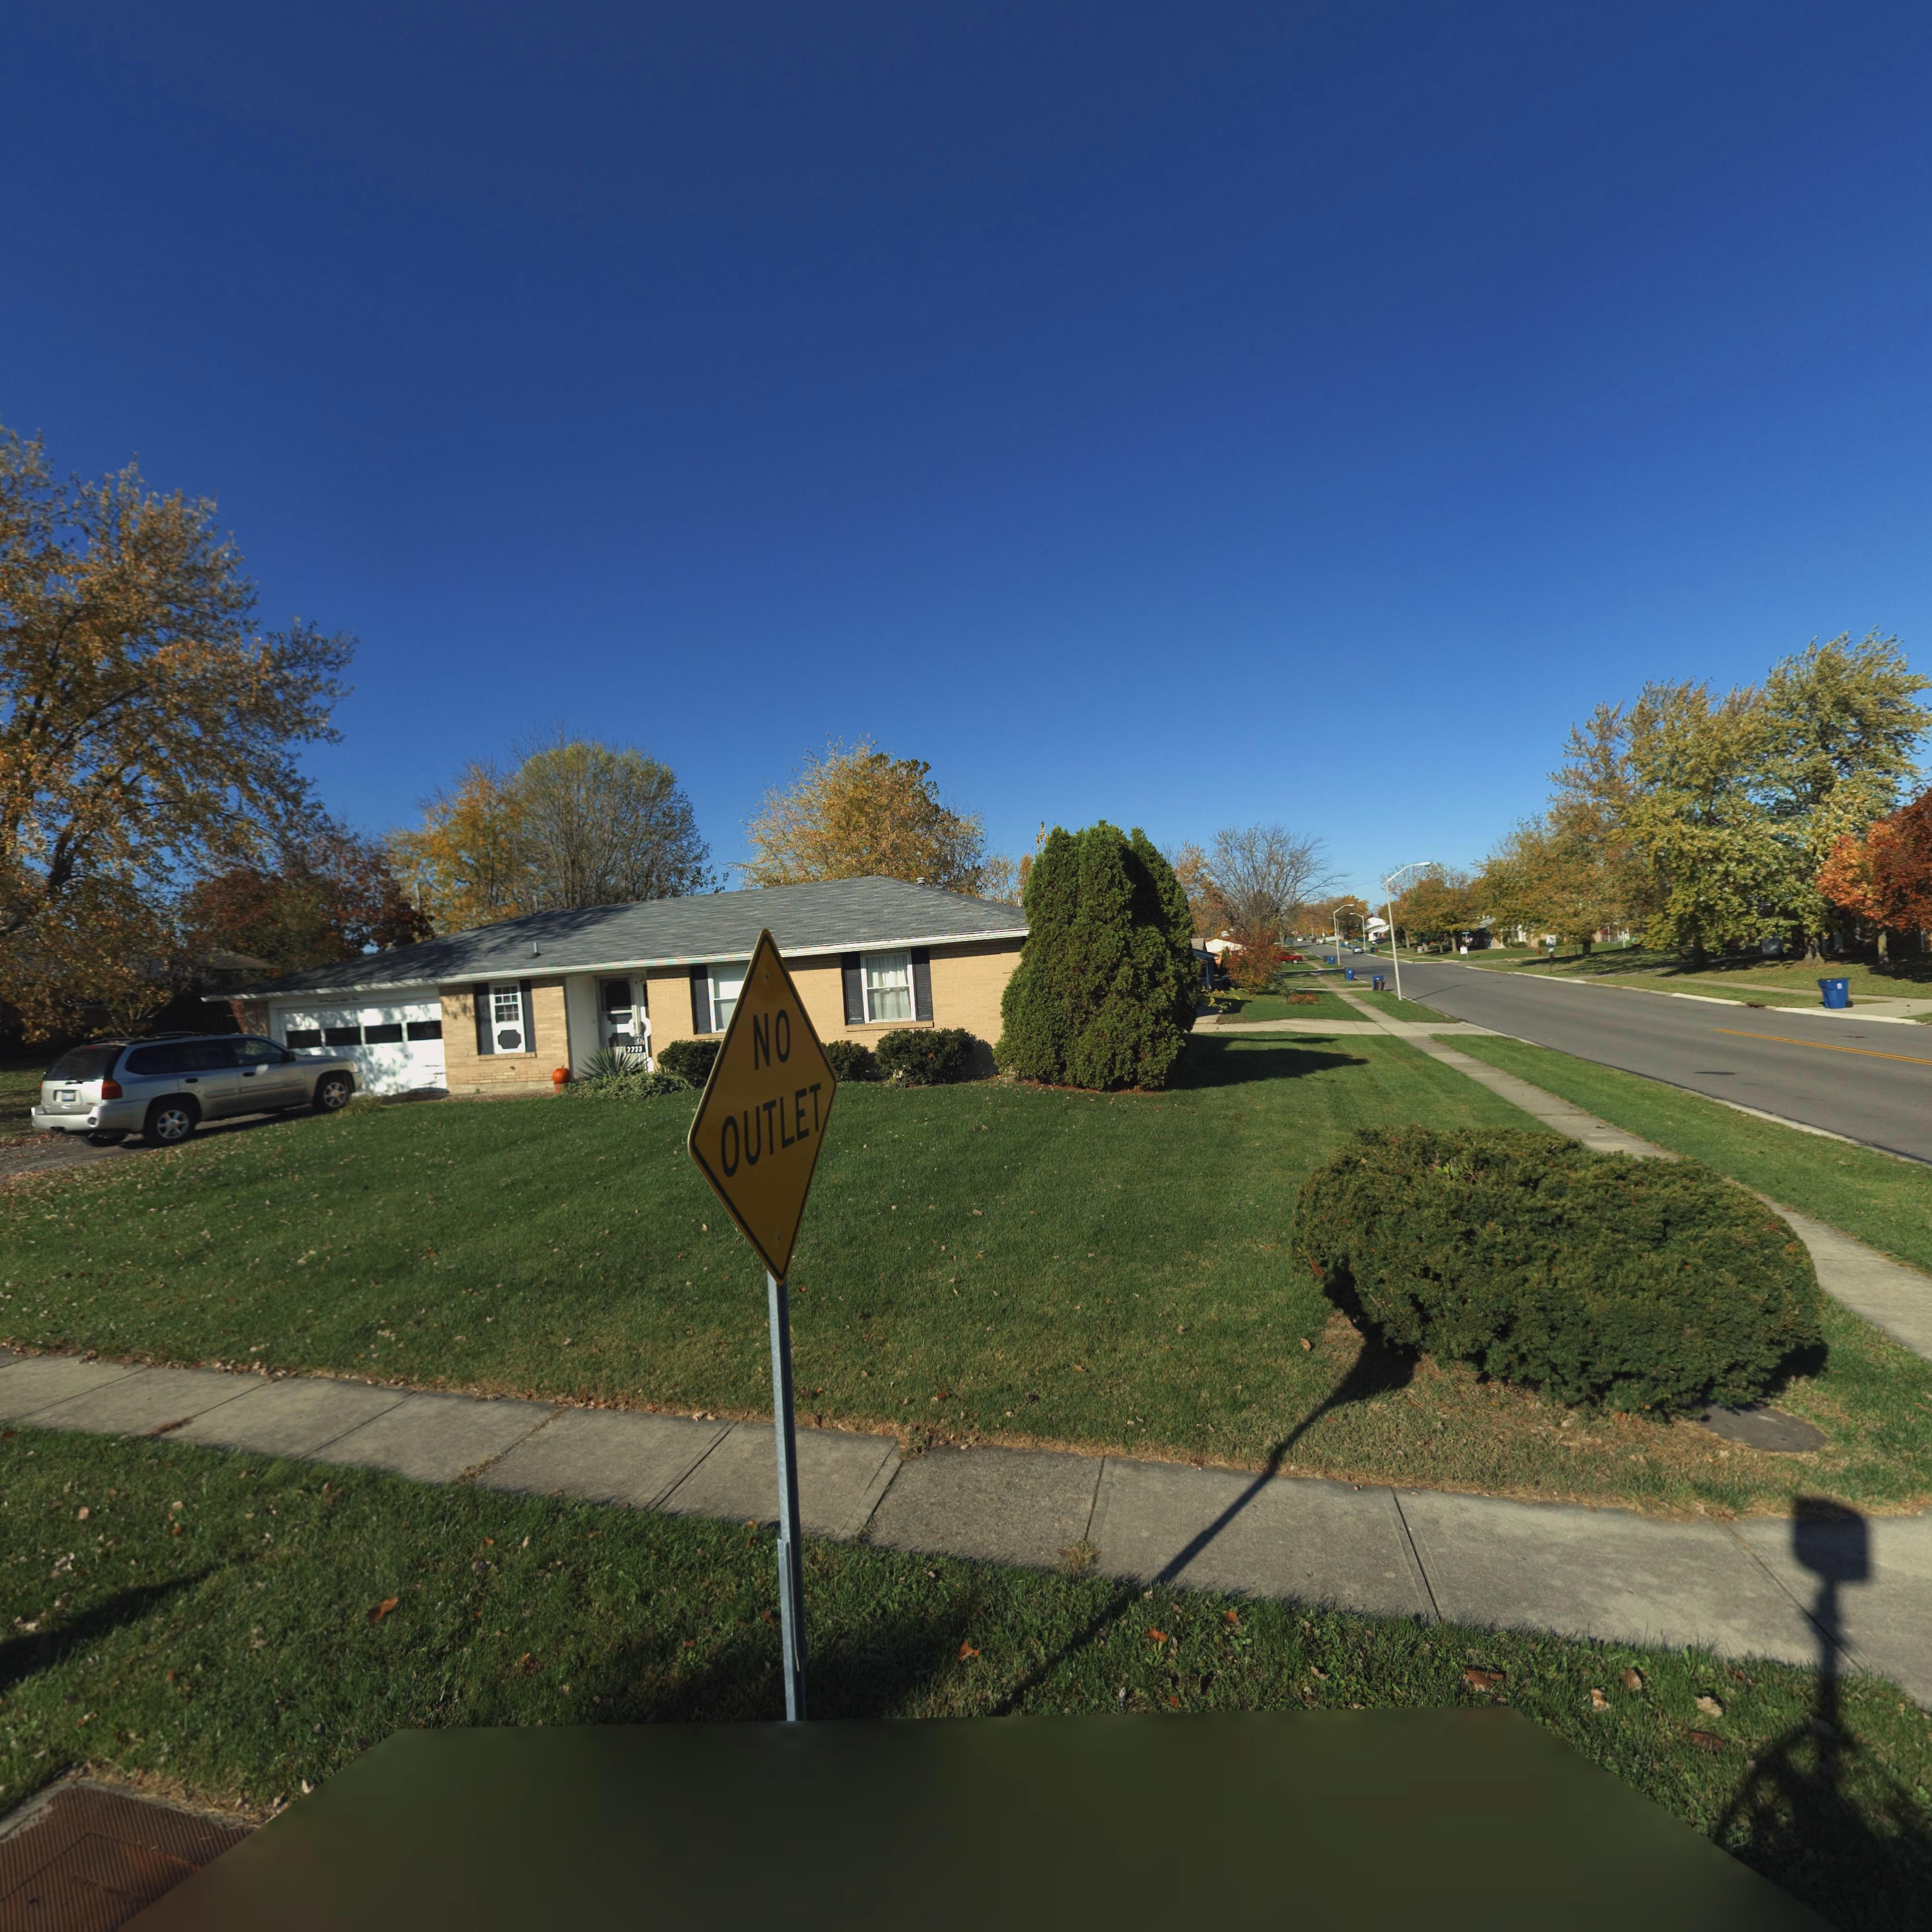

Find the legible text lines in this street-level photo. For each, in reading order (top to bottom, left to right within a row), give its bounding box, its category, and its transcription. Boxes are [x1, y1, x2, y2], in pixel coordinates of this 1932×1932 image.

[625, 1044, 644, 1054] StreetNumber: 7723